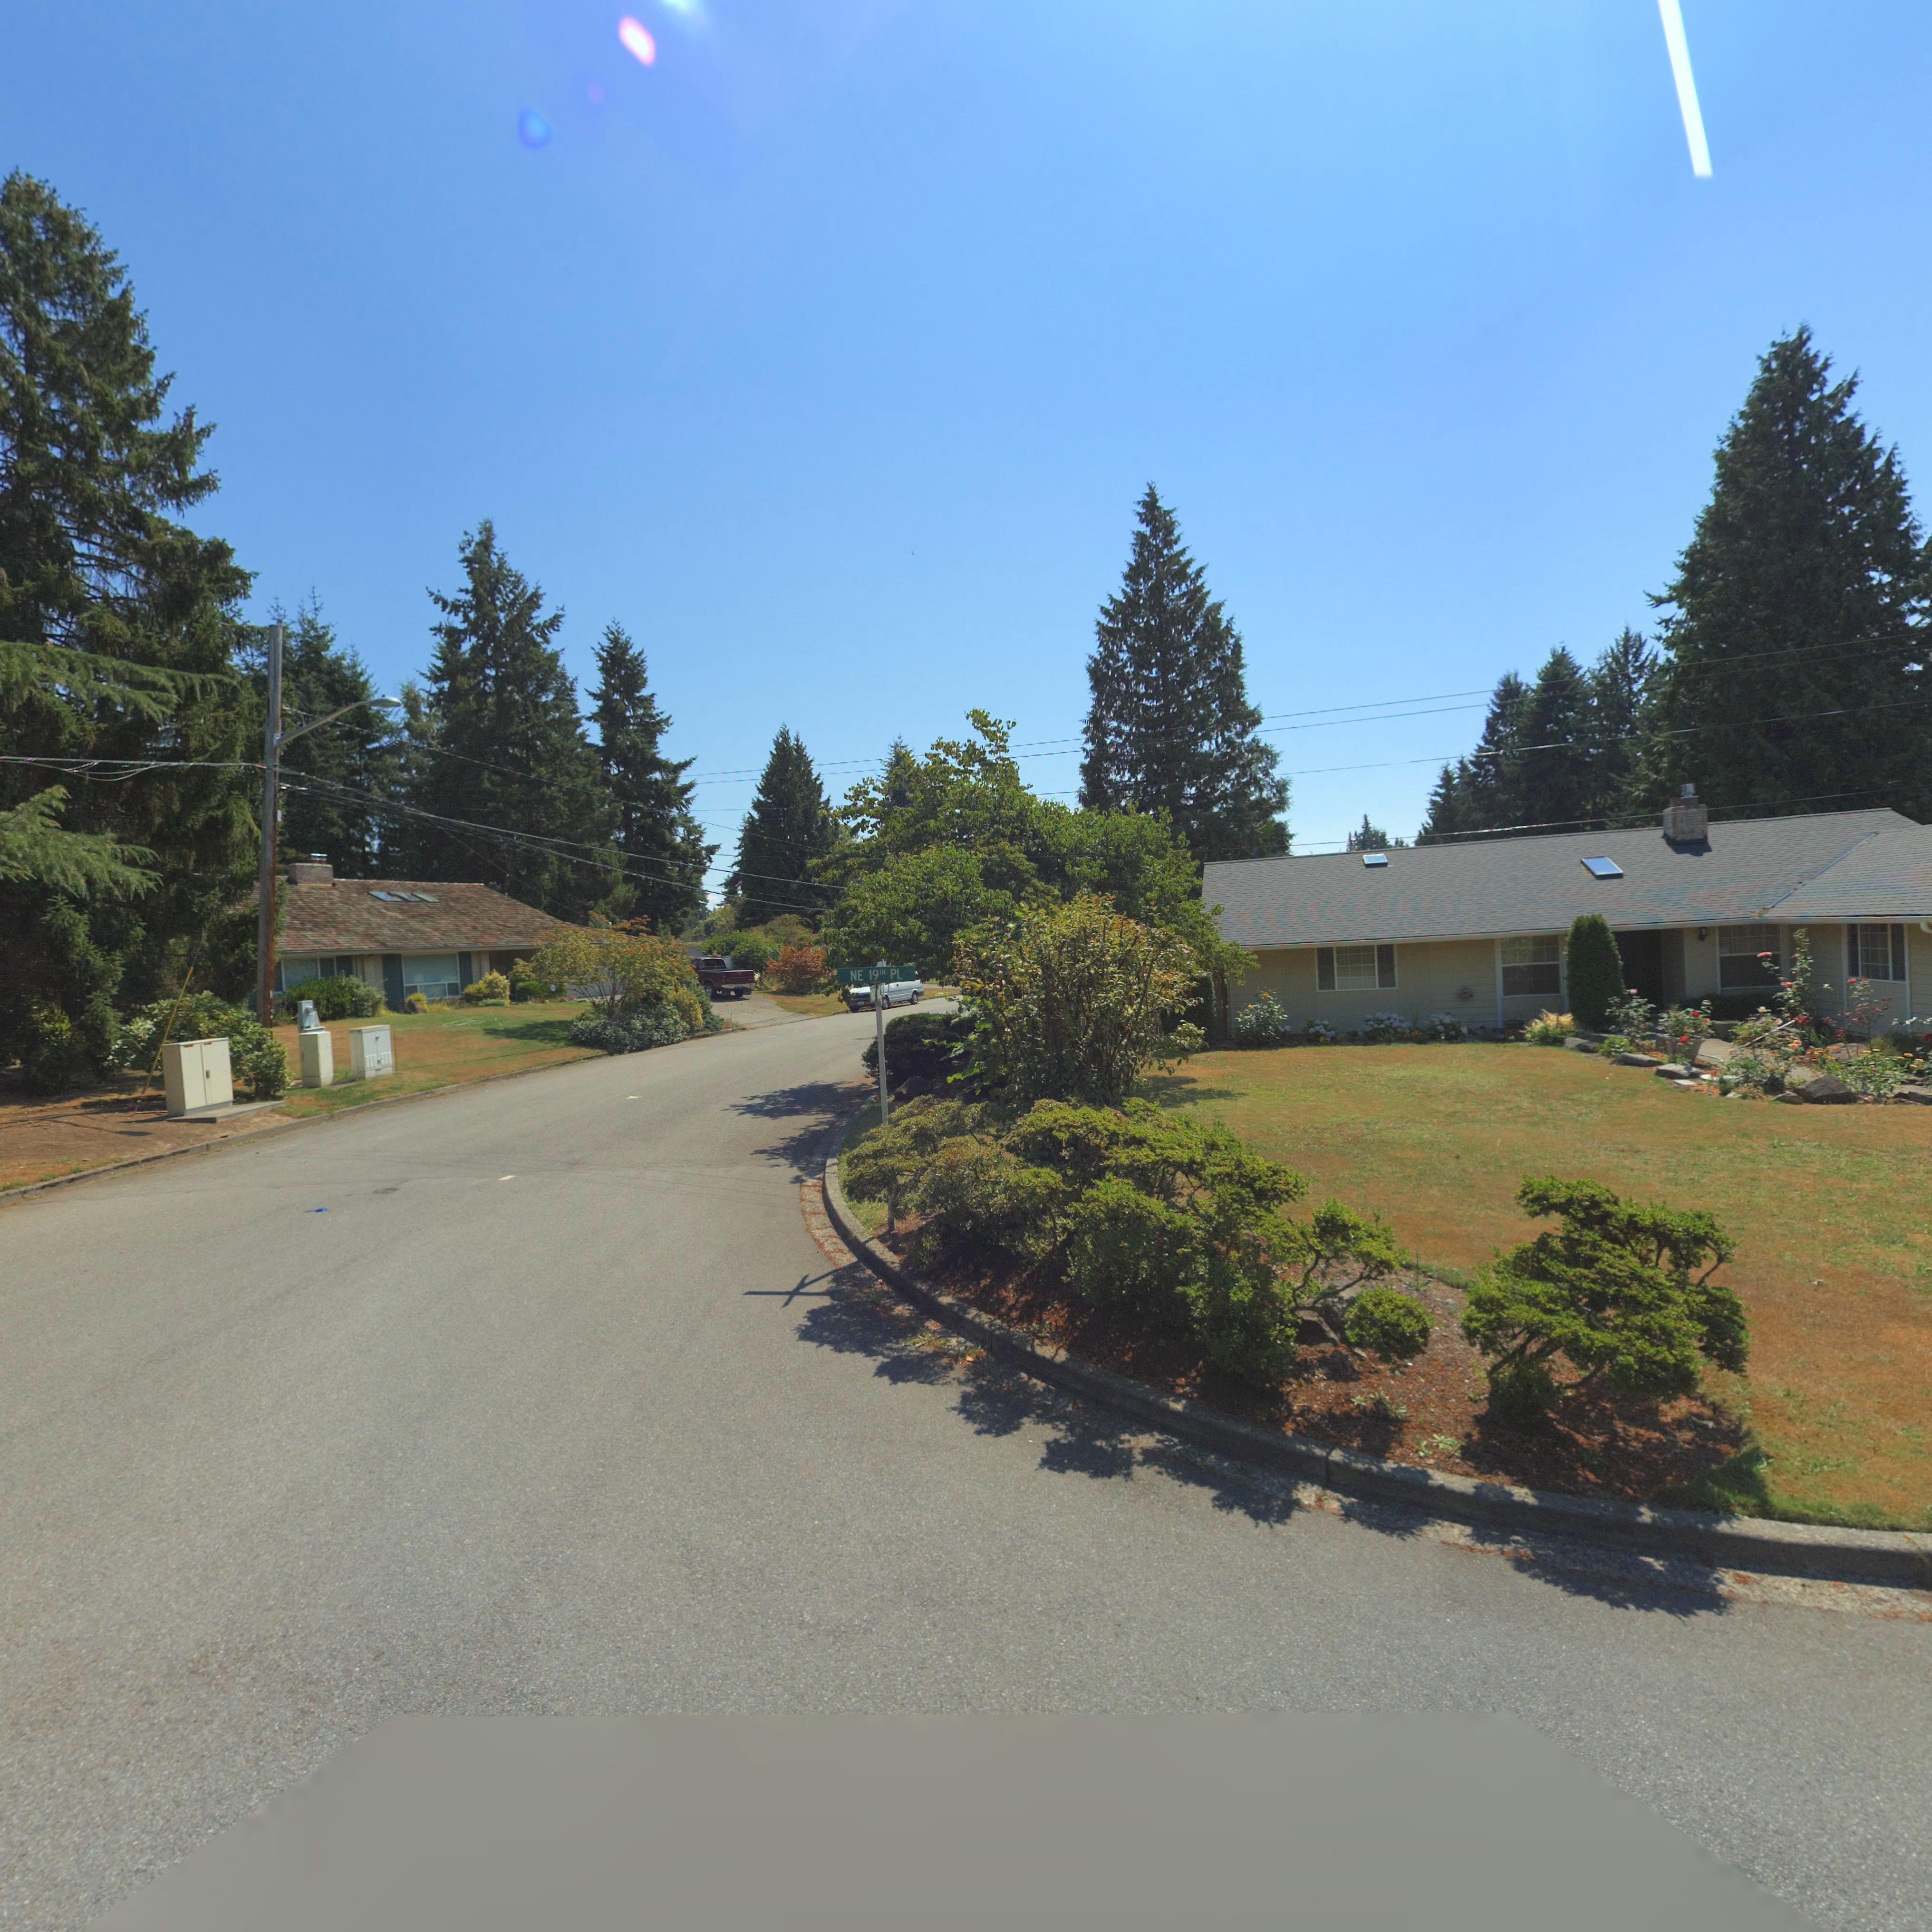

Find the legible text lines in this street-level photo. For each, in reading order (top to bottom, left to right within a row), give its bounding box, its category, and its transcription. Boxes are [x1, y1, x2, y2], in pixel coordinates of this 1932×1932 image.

[850, 968, 903, 981] StreetName: NE 19TH PL